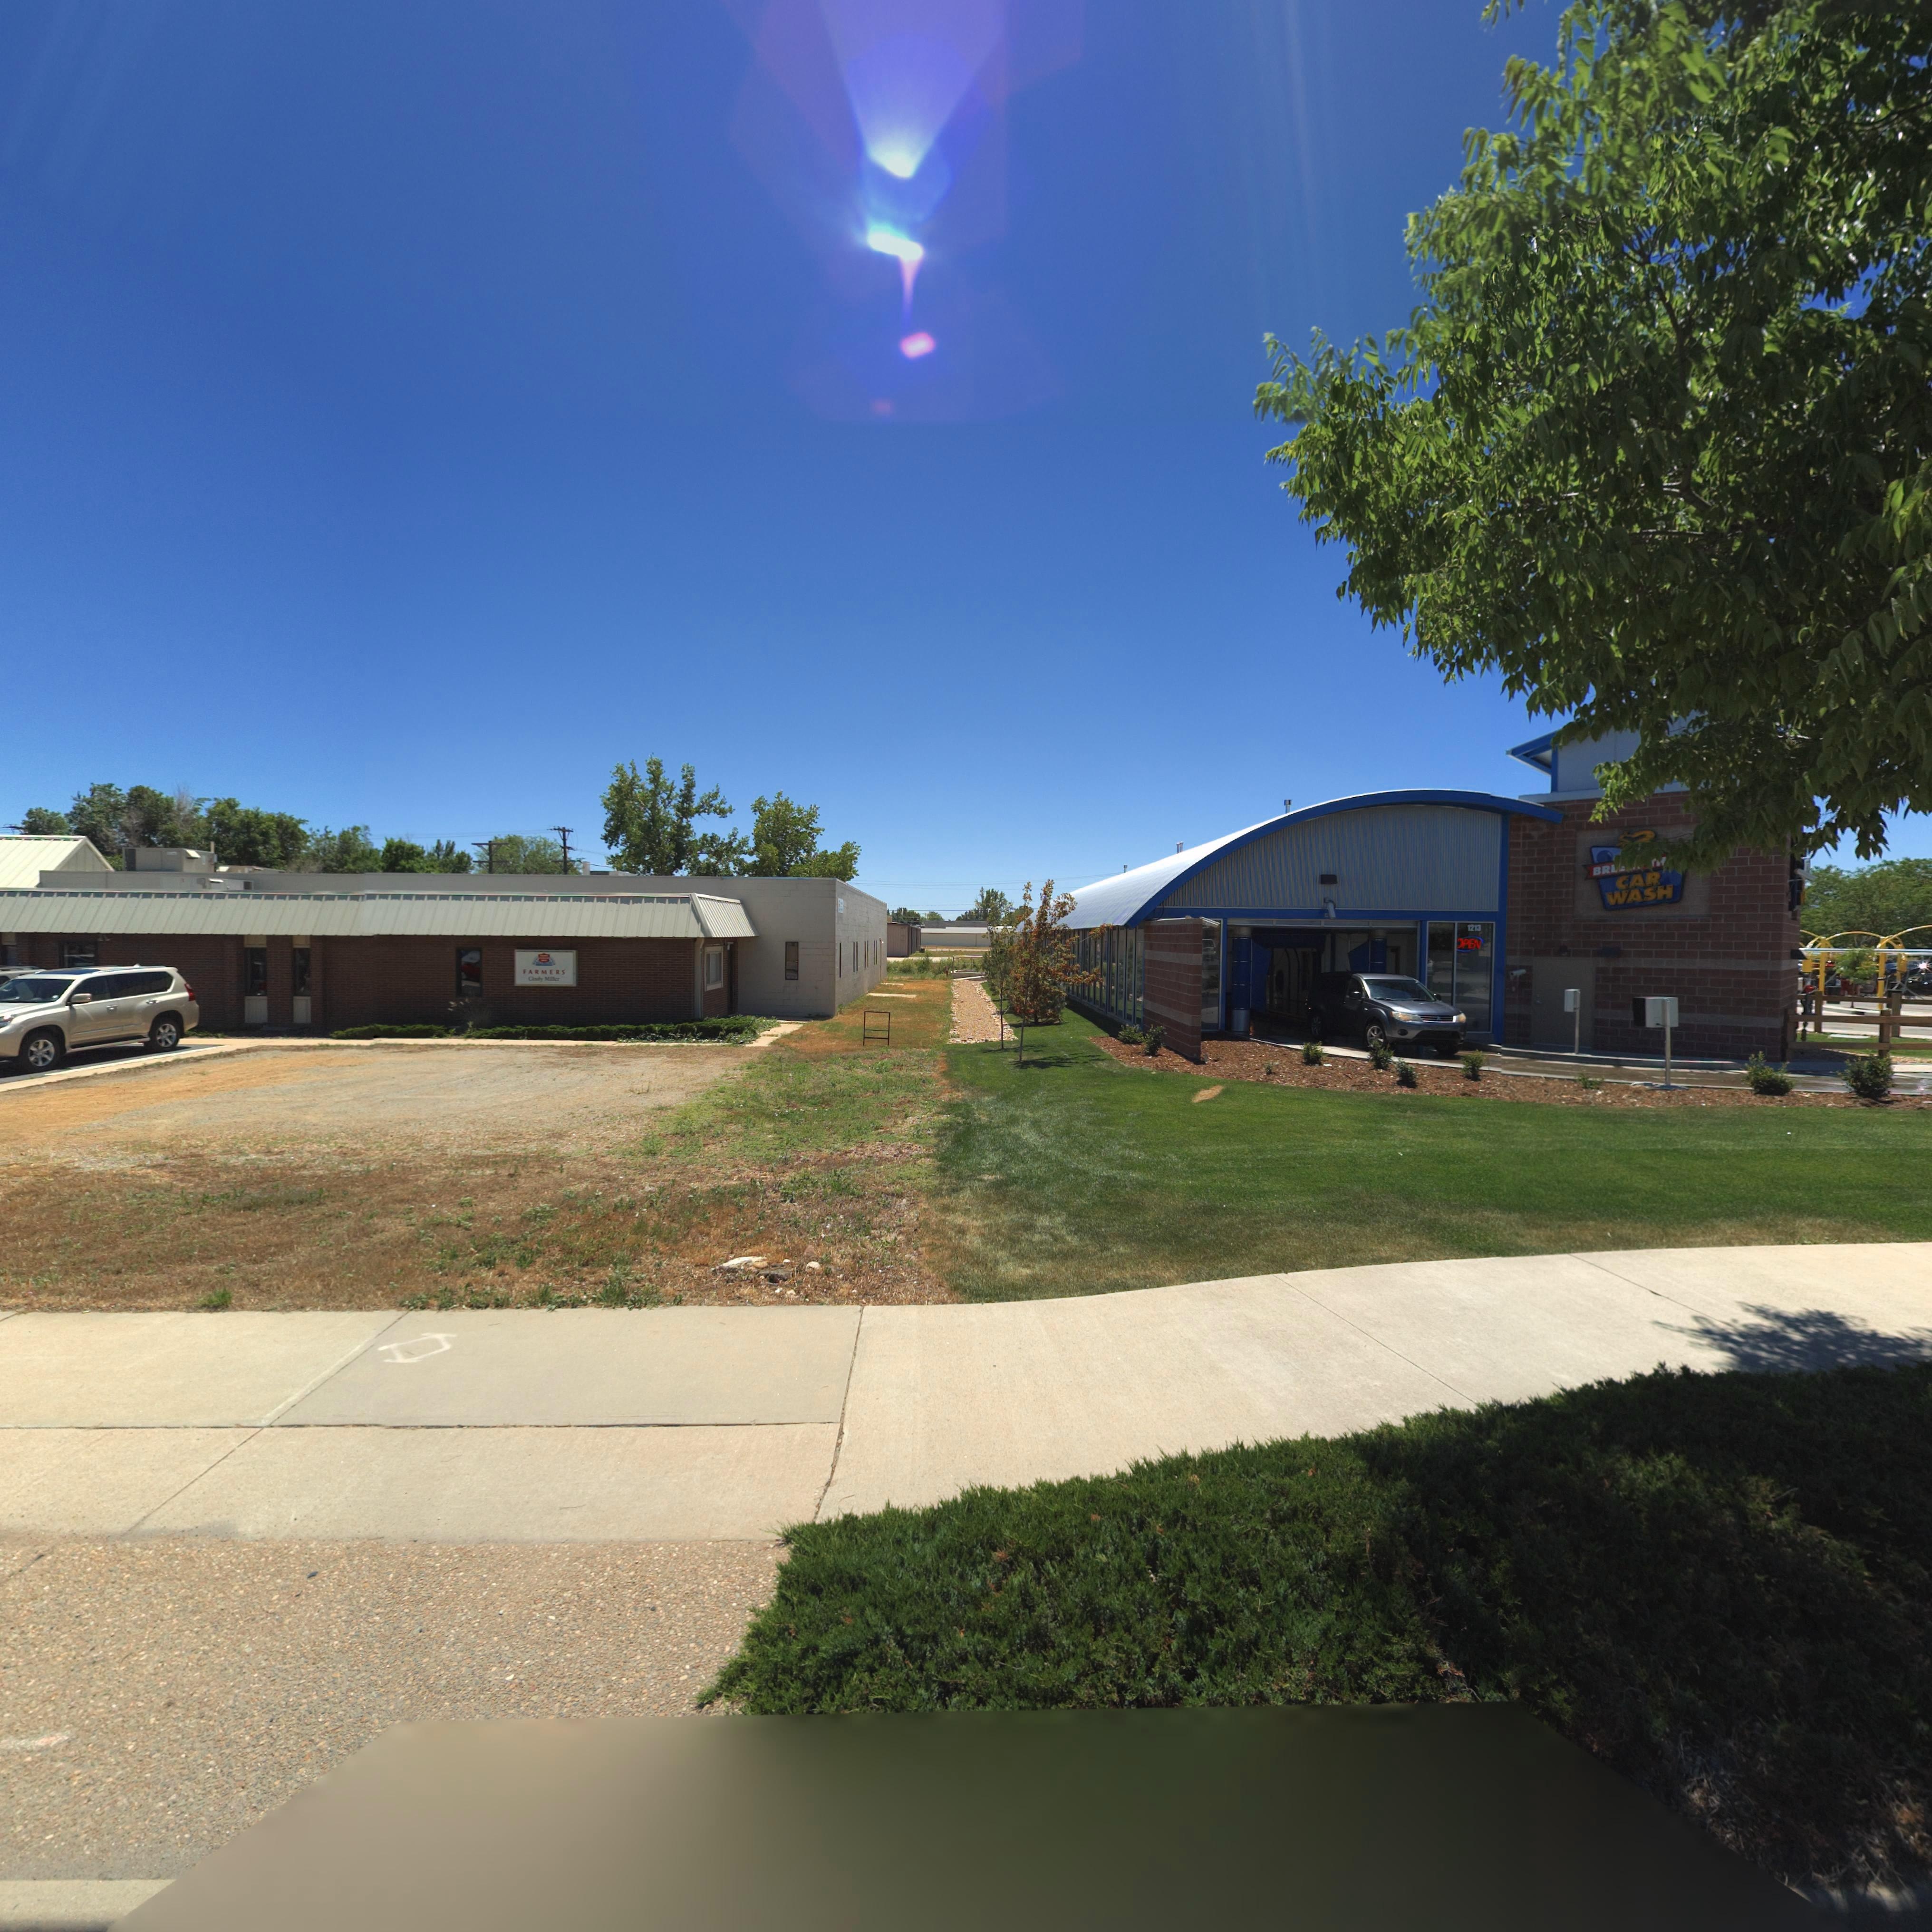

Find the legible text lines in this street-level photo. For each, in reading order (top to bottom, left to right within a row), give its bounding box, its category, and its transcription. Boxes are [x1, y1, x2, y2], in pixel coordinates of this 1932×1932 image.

[1592, 856, 1667, 876] BusinessName: BR**** **
[1614, 870, 1662, 890] BusinessName: CAR
[1604, 883, 1674, 906] BusinessName: WASH
[1467, 924, 1481, 931] StreetNumber: 1213
[523, 968, 566, 976] BusinessName: FARMERS